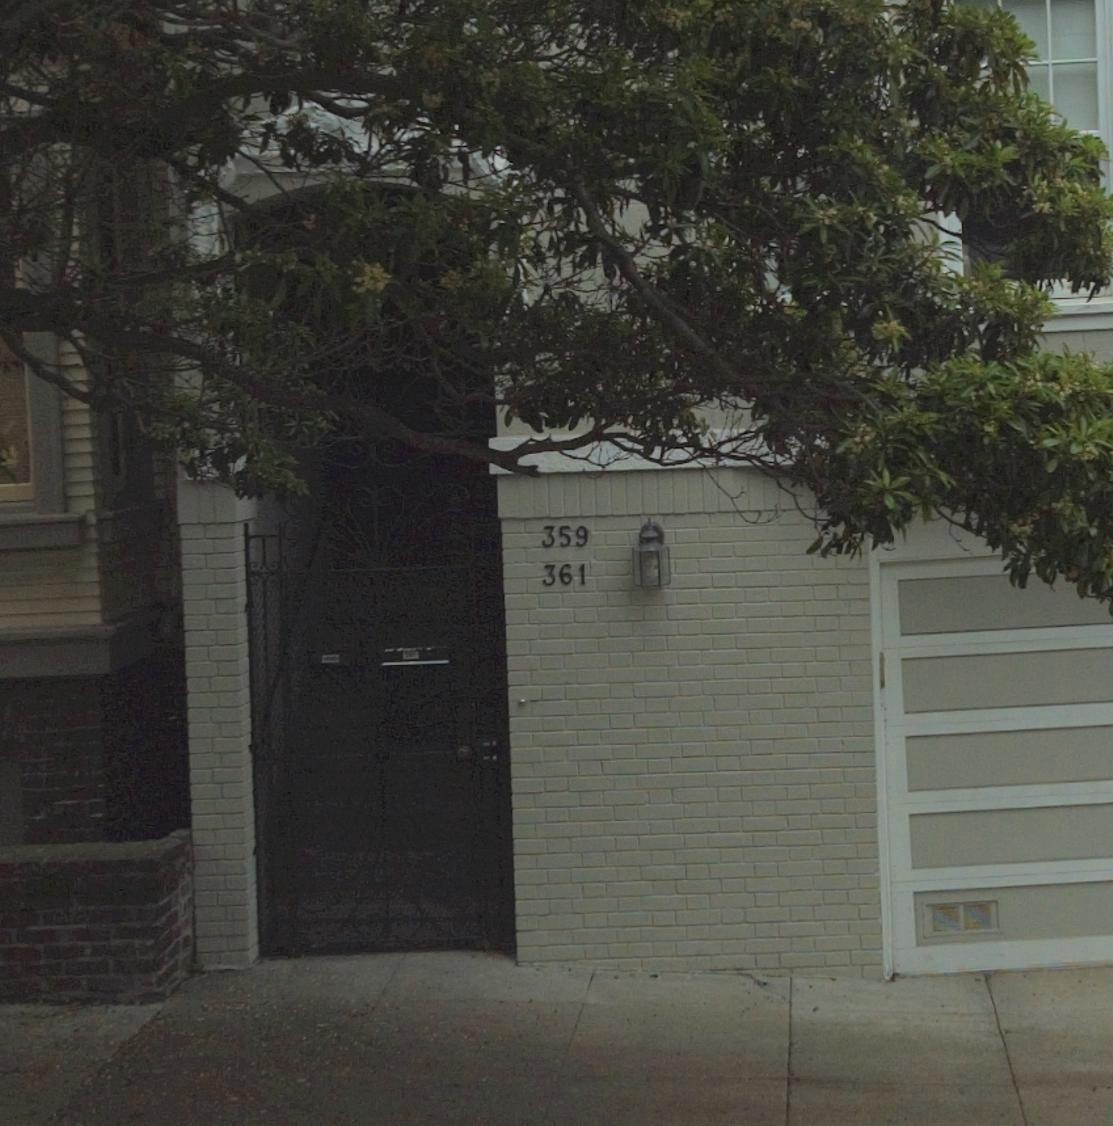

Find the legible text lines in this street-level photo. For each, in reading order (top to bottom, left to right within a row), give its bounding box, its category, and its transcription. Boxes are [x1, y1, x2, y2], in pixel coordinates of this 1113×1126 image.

[540, 524, 590, 549] StreetNumber: 359
[540, 562, 587, 587] StreetNumber: 361